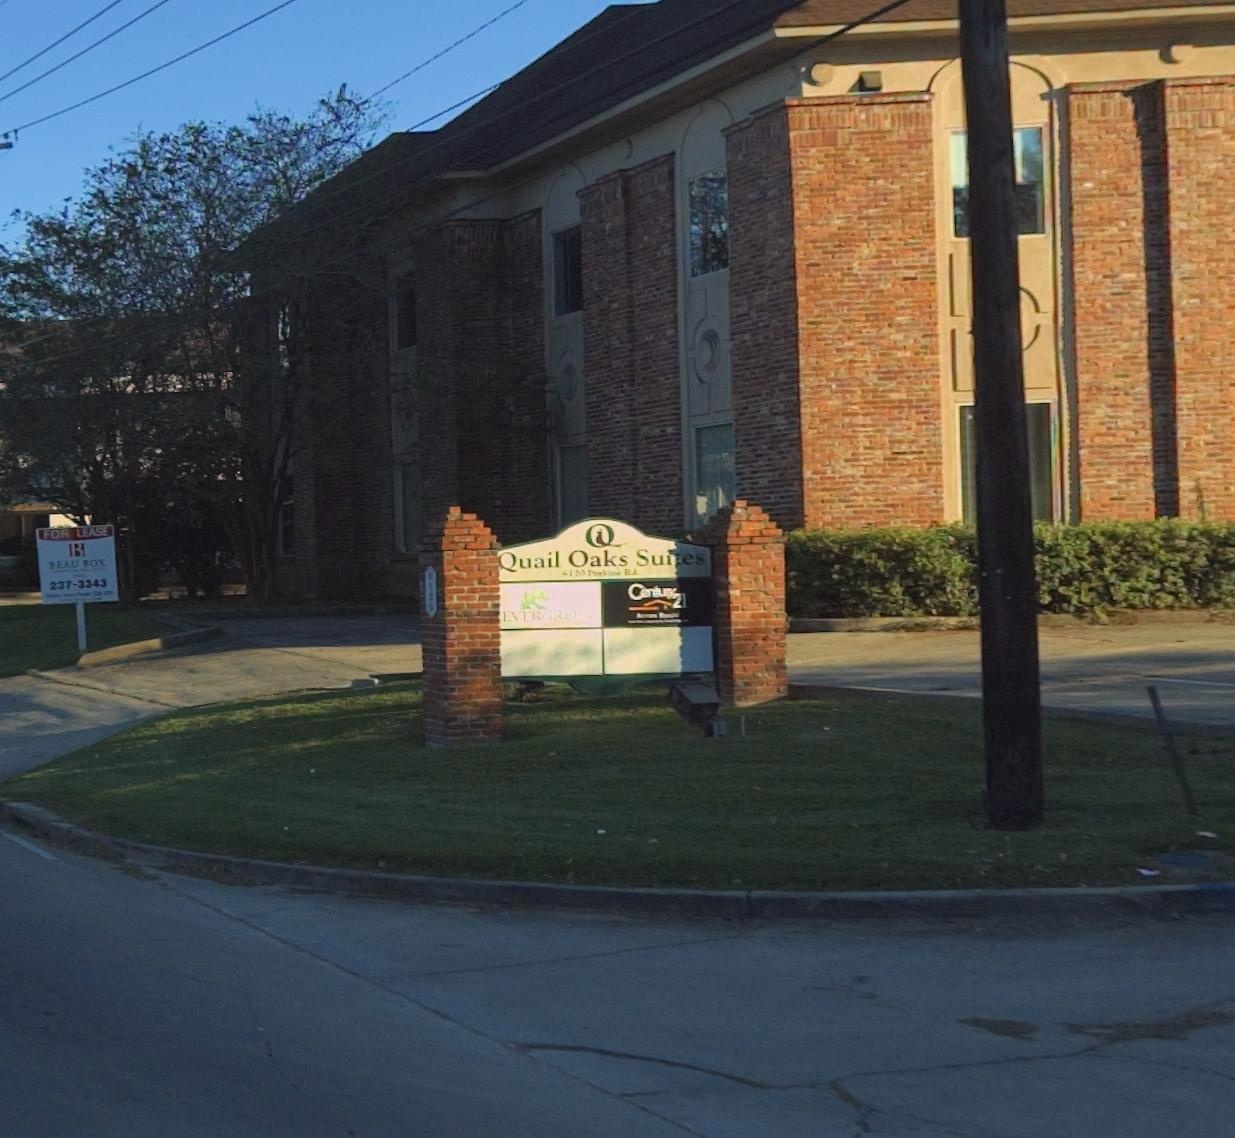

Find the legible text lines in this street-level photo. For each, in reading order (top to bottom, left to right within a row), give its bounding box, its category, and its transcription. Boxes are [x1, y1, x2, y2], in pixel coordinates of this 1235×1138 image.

[42, 526, 110, 540] None: FOR LEASE
[70, 540, 85, 558] None: B
[48, 557, 108, 570] None: BEAU BOX
[498, 548, 706, 573] BusinessName: Quail Oaks Suites
[48, 577, 108, 592] None: 237-3343
[426, 570, 436, 613] StreetNumber: 612*
[627, 582, 679, 602] BusinessName: Century
[672, 592, 688, 609] BusinessName: 21
[502, 607, 600, 624] BusinessName: EVER*RE**